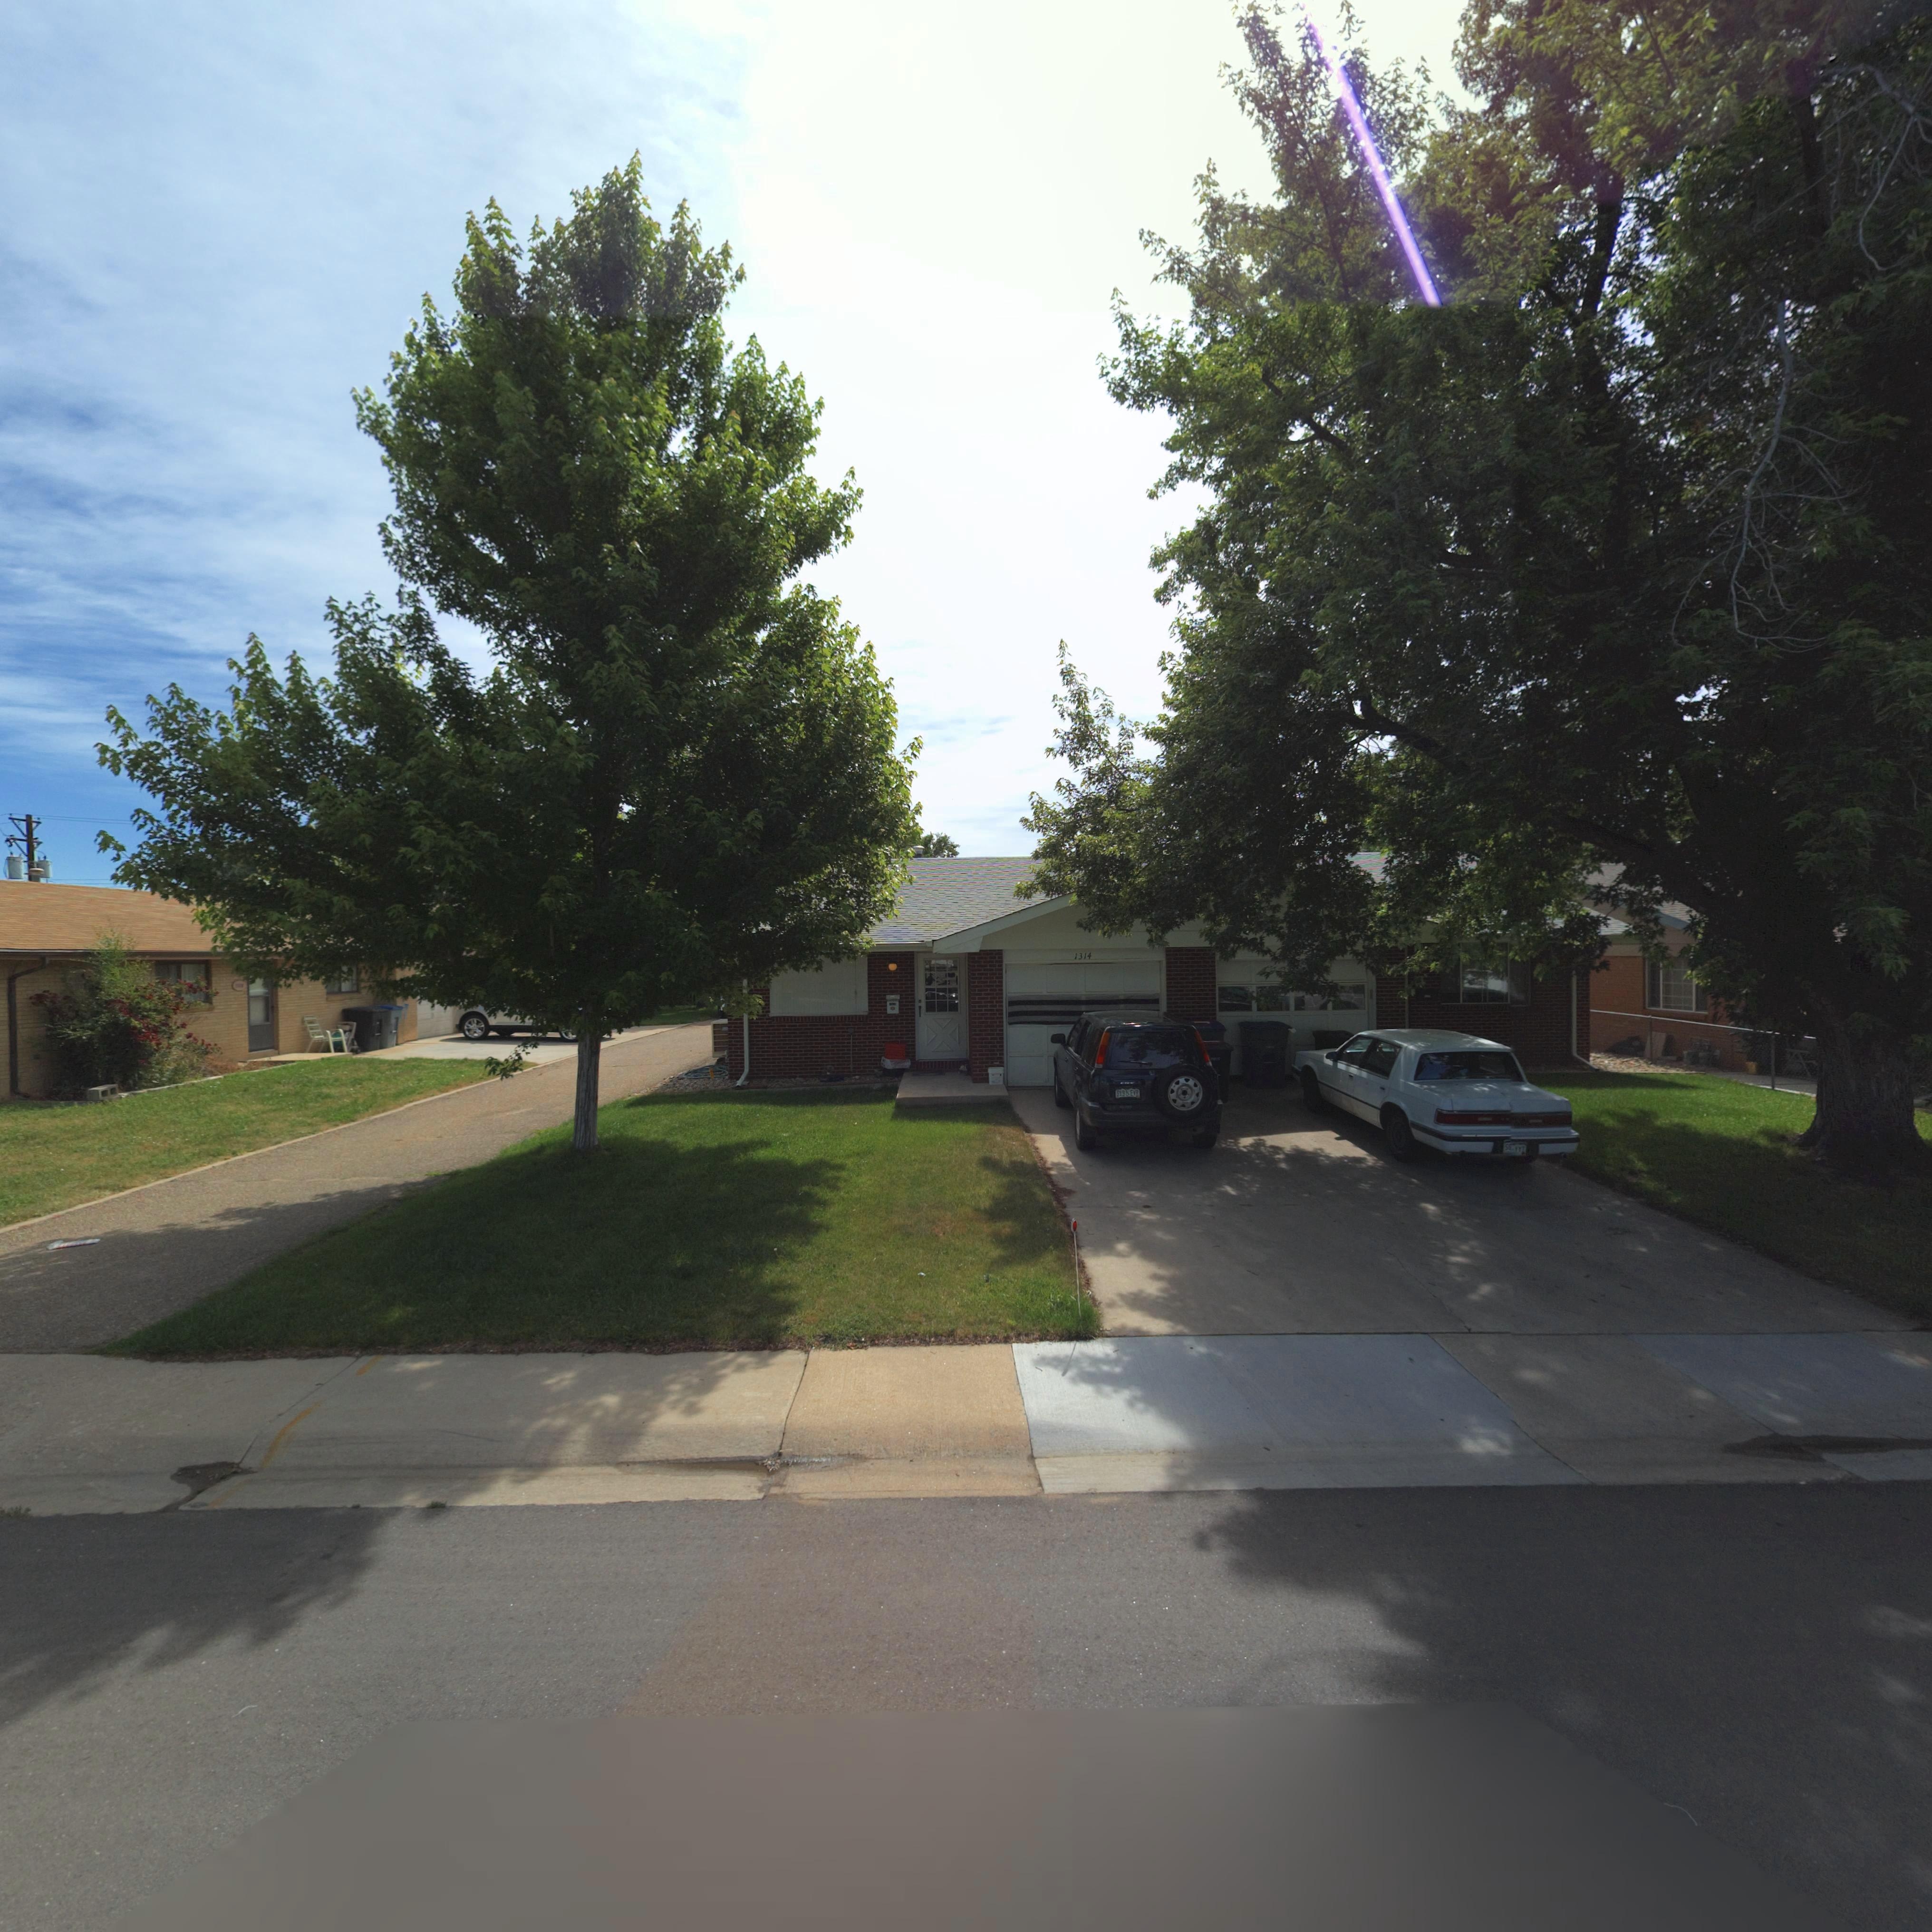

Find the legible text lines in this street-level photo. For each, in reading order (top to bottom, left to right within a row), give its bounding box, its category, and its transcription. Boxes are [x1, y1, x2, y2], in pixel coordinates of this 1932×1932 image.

[1073, 951, 1092, 960] StreetNumber: 1314